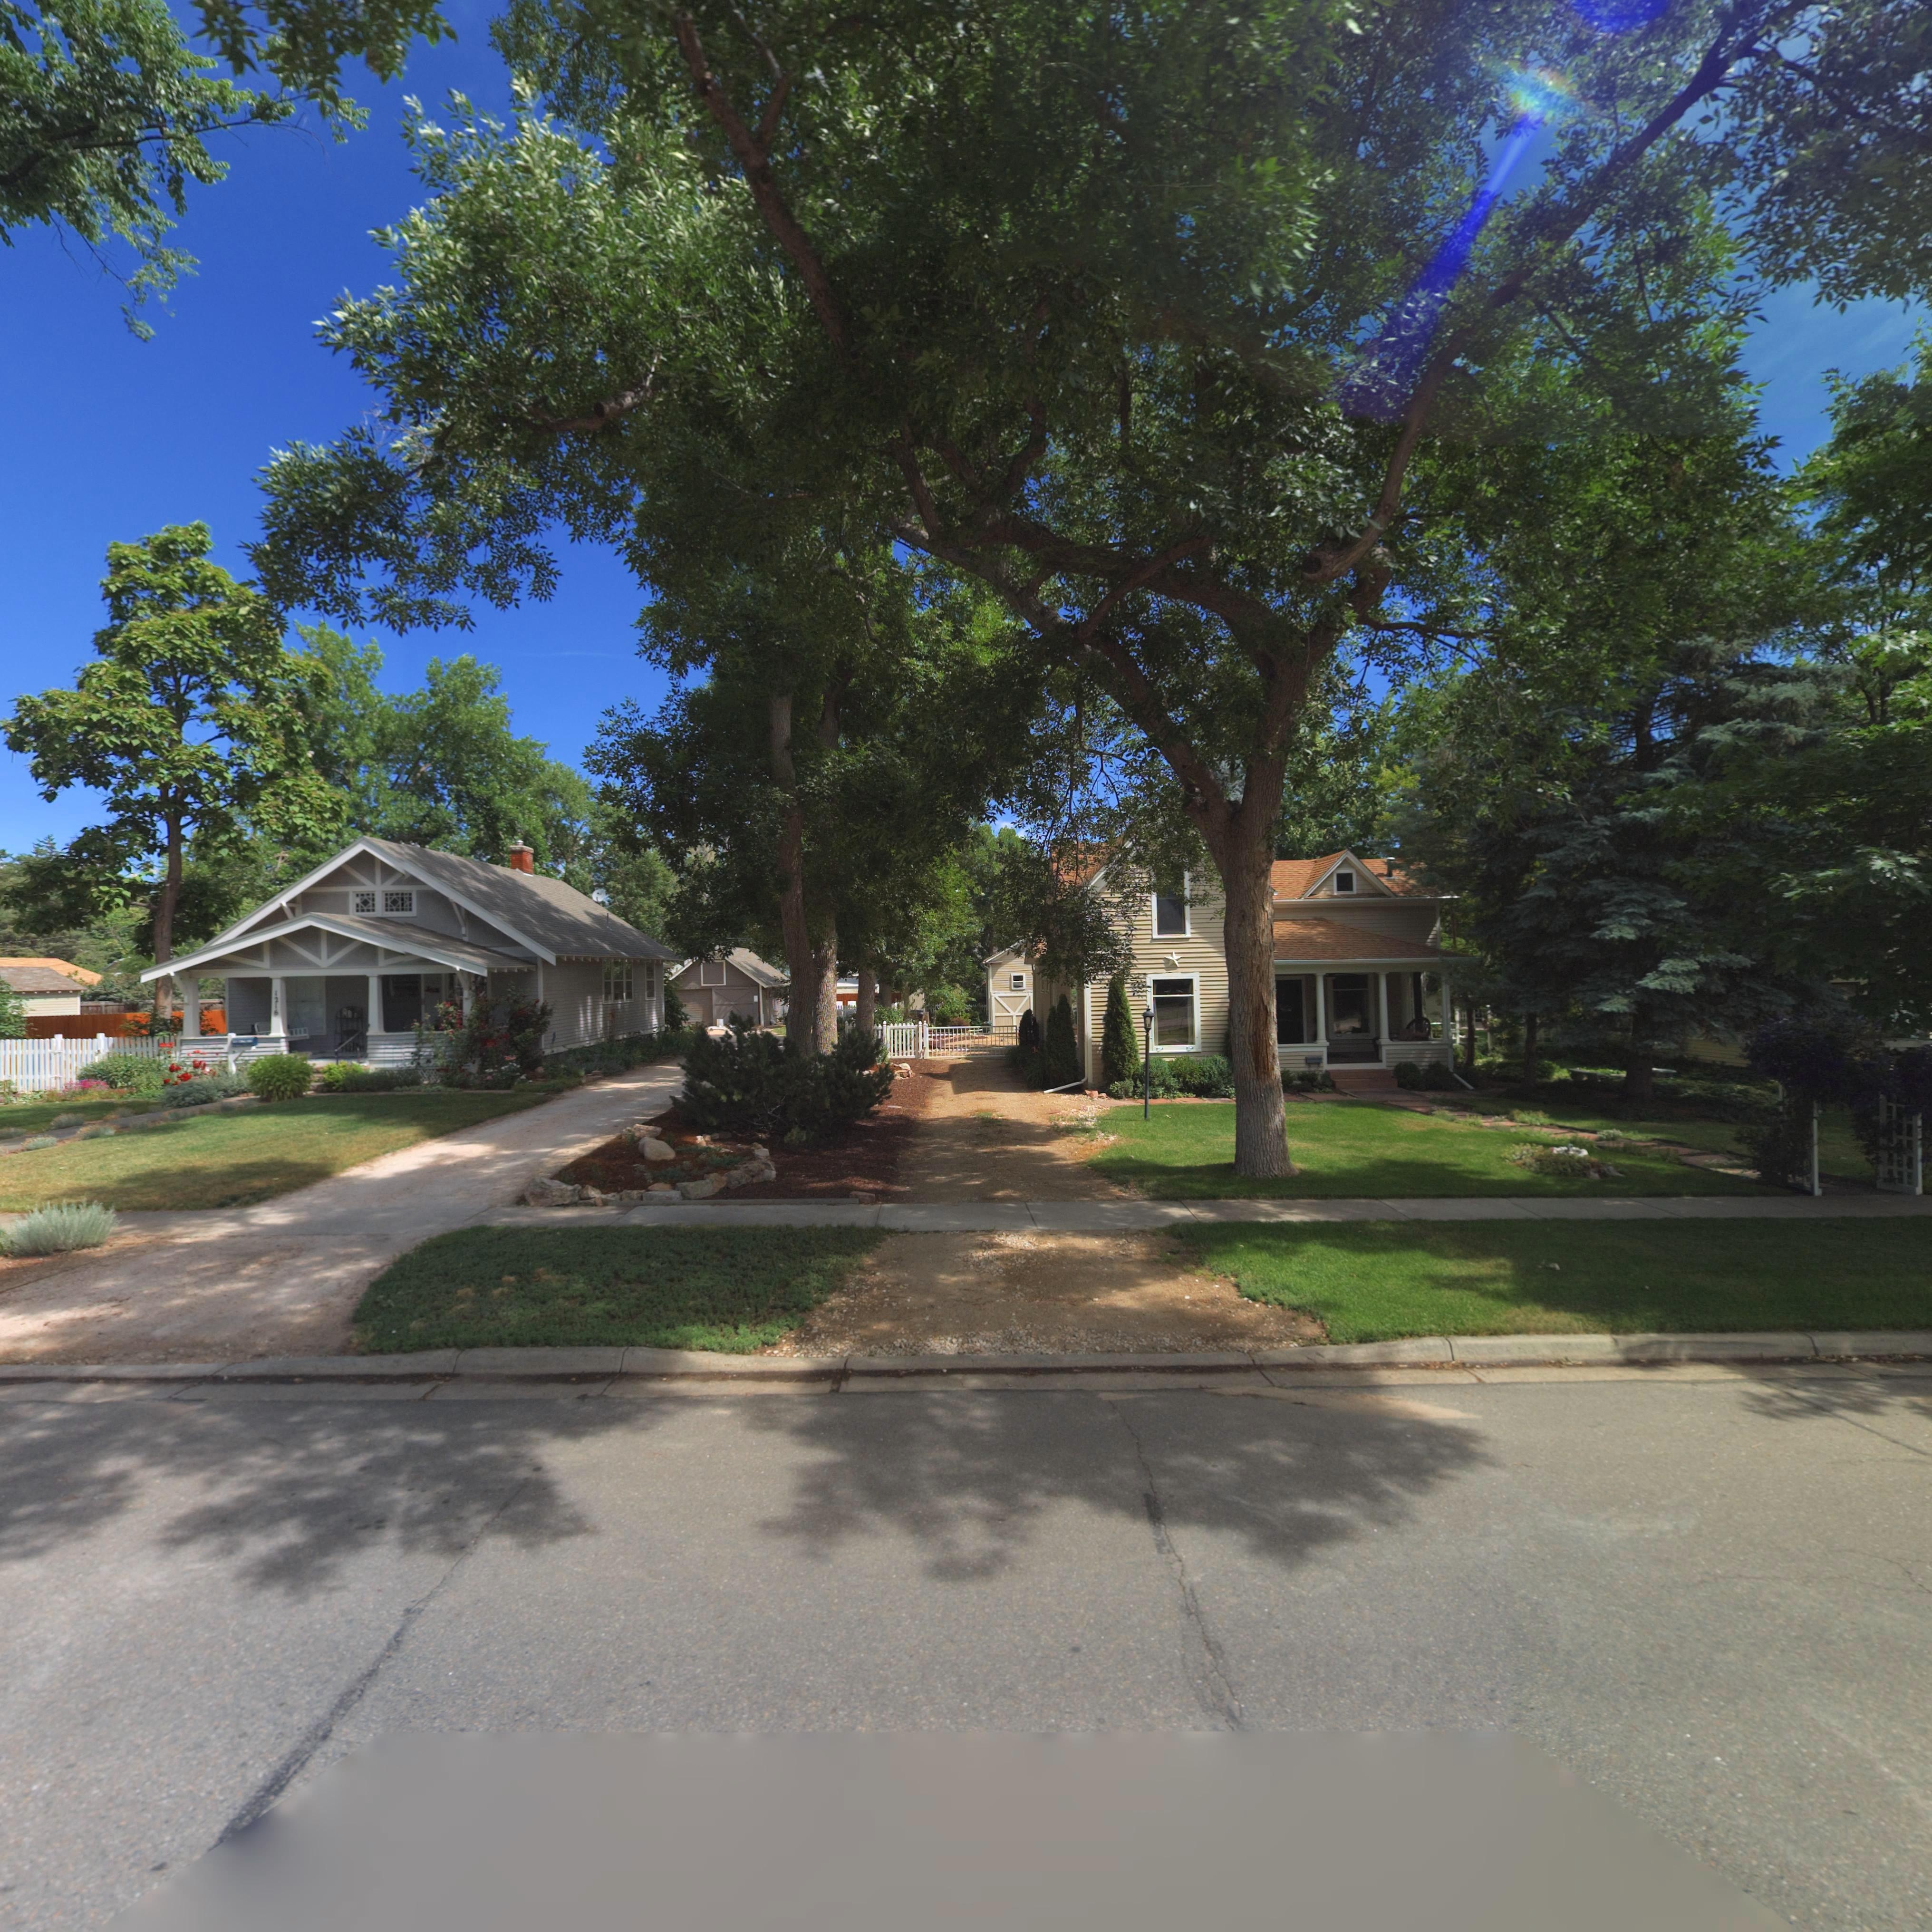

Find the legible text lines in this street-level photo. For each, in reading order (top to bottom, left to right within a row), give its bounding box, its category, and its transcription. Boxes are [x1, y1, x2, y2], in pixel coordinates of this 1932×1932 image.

[273, 989, 279, 1016] StreetNumber: 1216